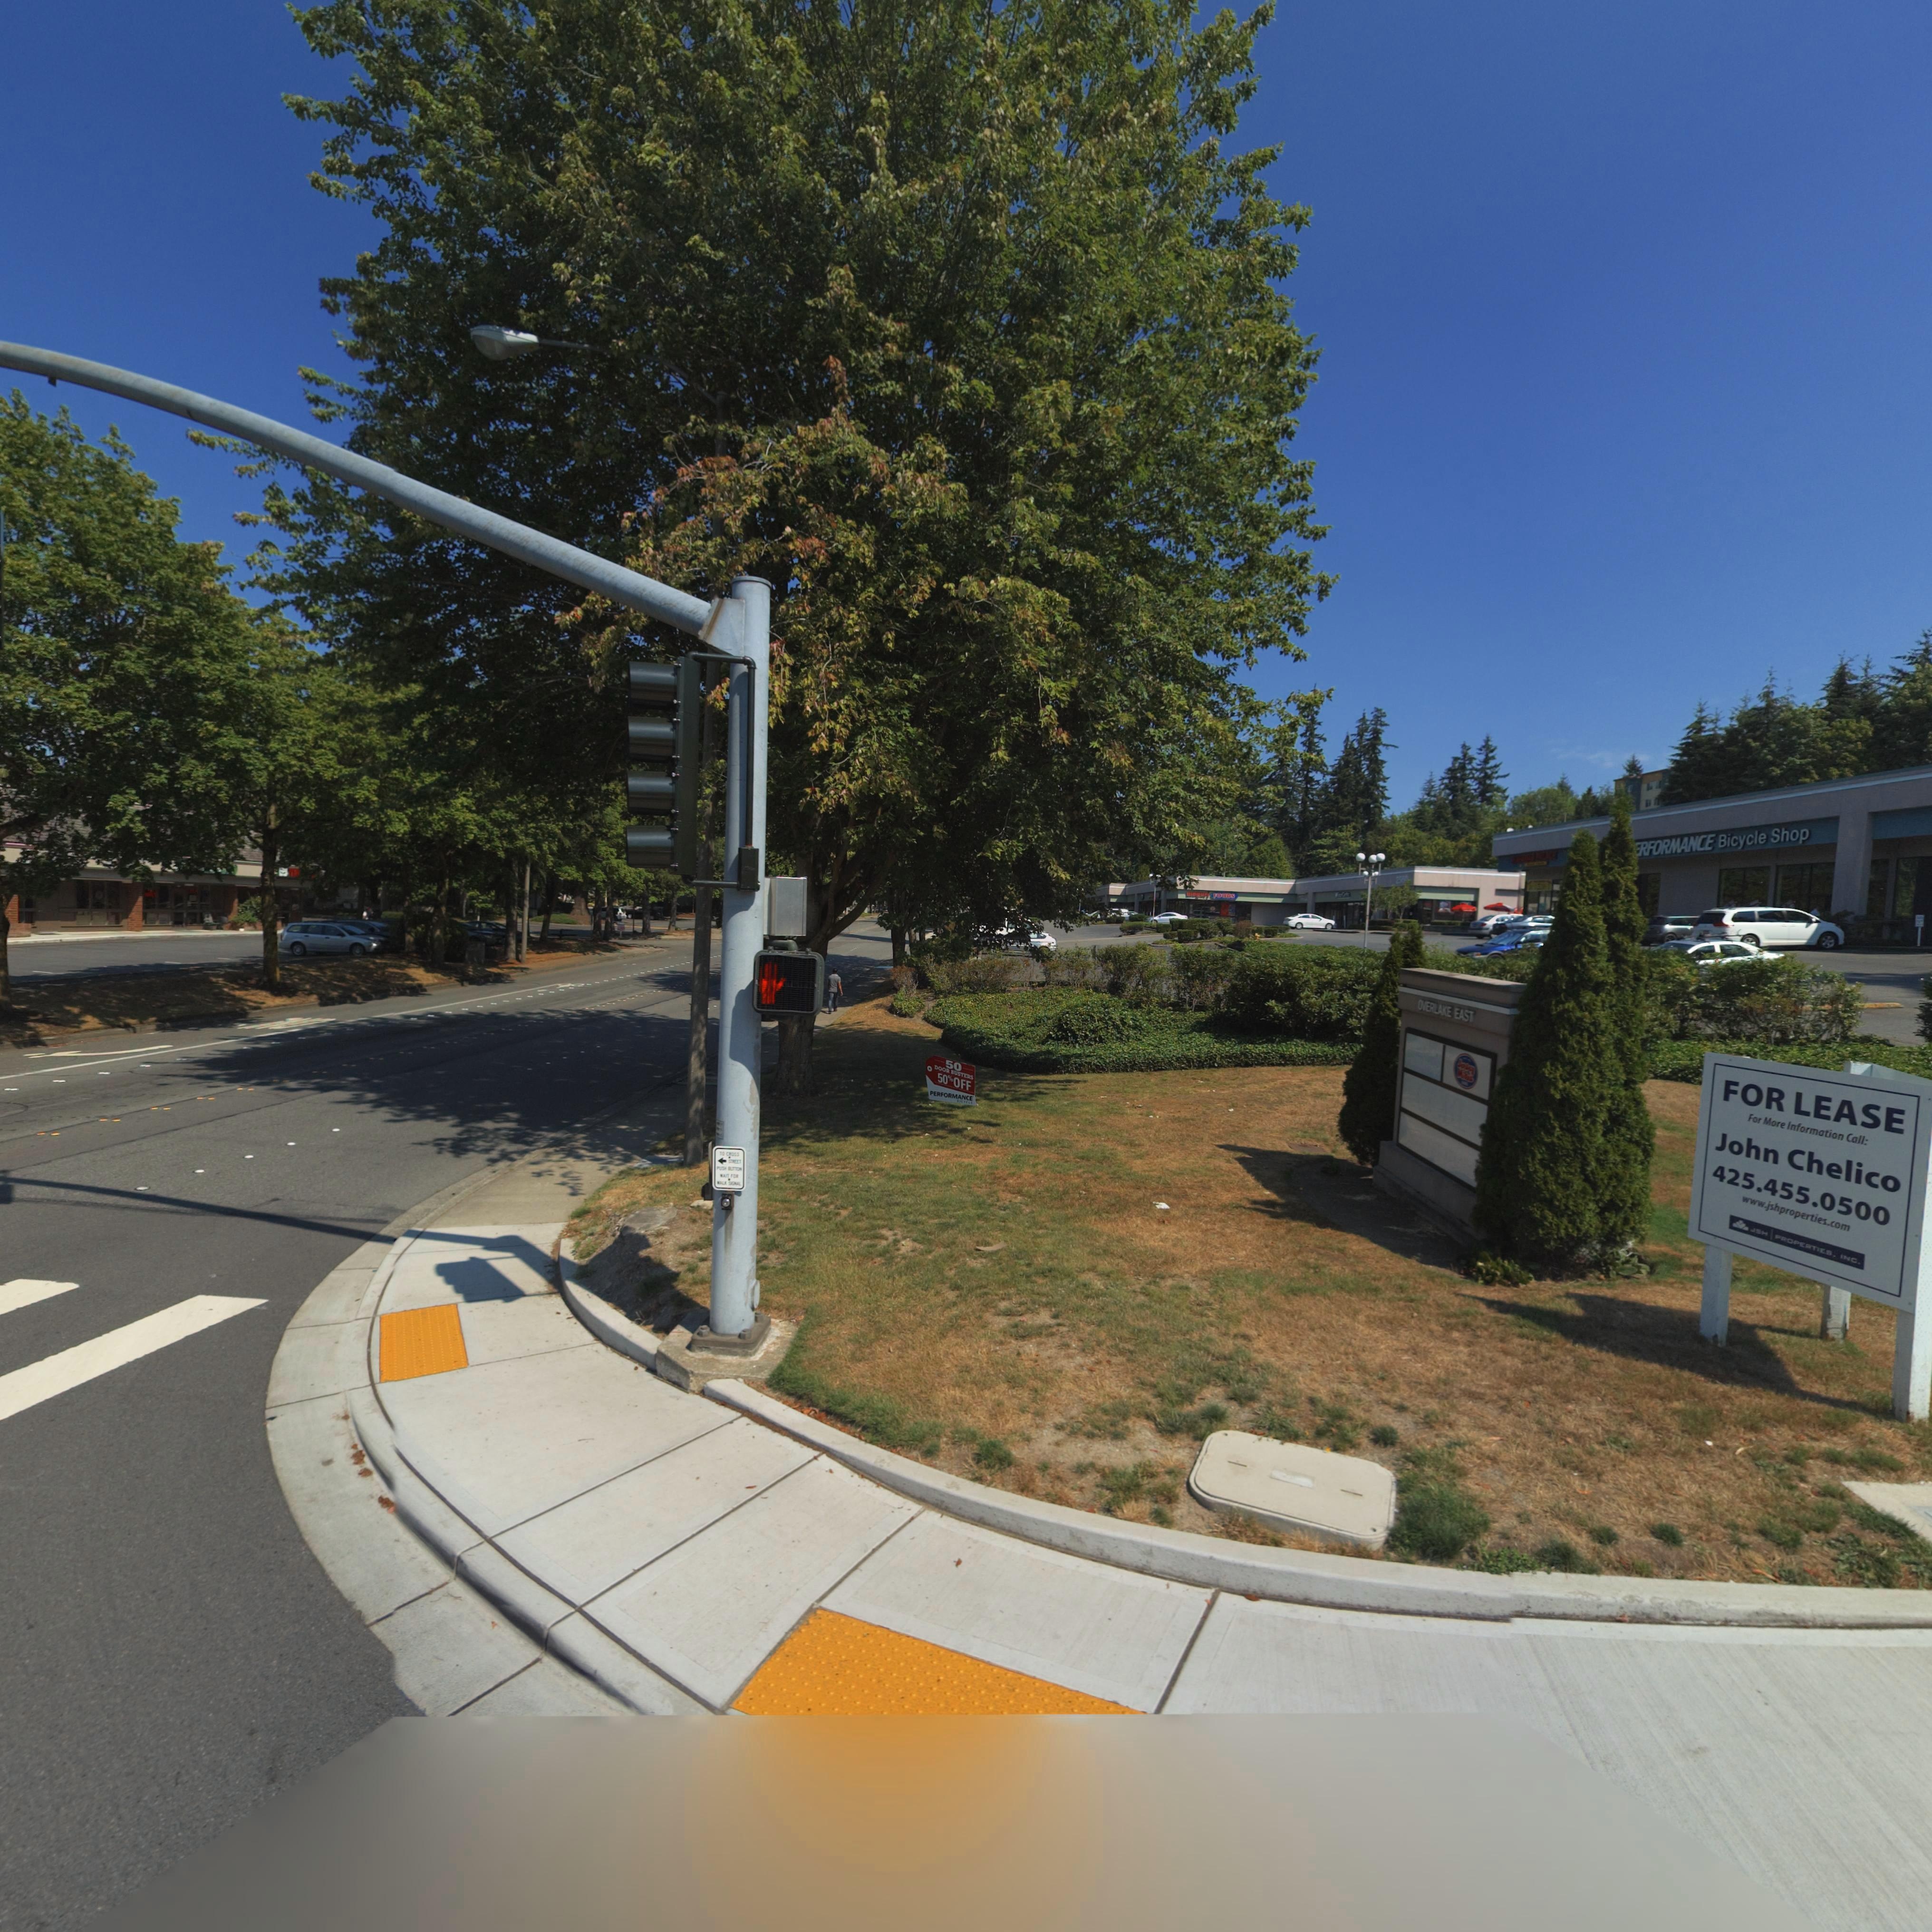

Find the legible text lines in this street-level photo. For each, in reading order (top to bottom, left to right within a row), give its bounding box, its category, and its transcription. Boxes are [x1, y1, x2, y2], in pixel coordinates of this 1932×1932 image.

[1636, 824, 1811, 856] BusinessName: *RFORMANCE Bicycle Shop
[1417, 997, 1476, 1024] SecondaryUnitDesignator: OVERLAKE EAST
[1715, 1131, 1900, 1193] BusinessName: John Chelico